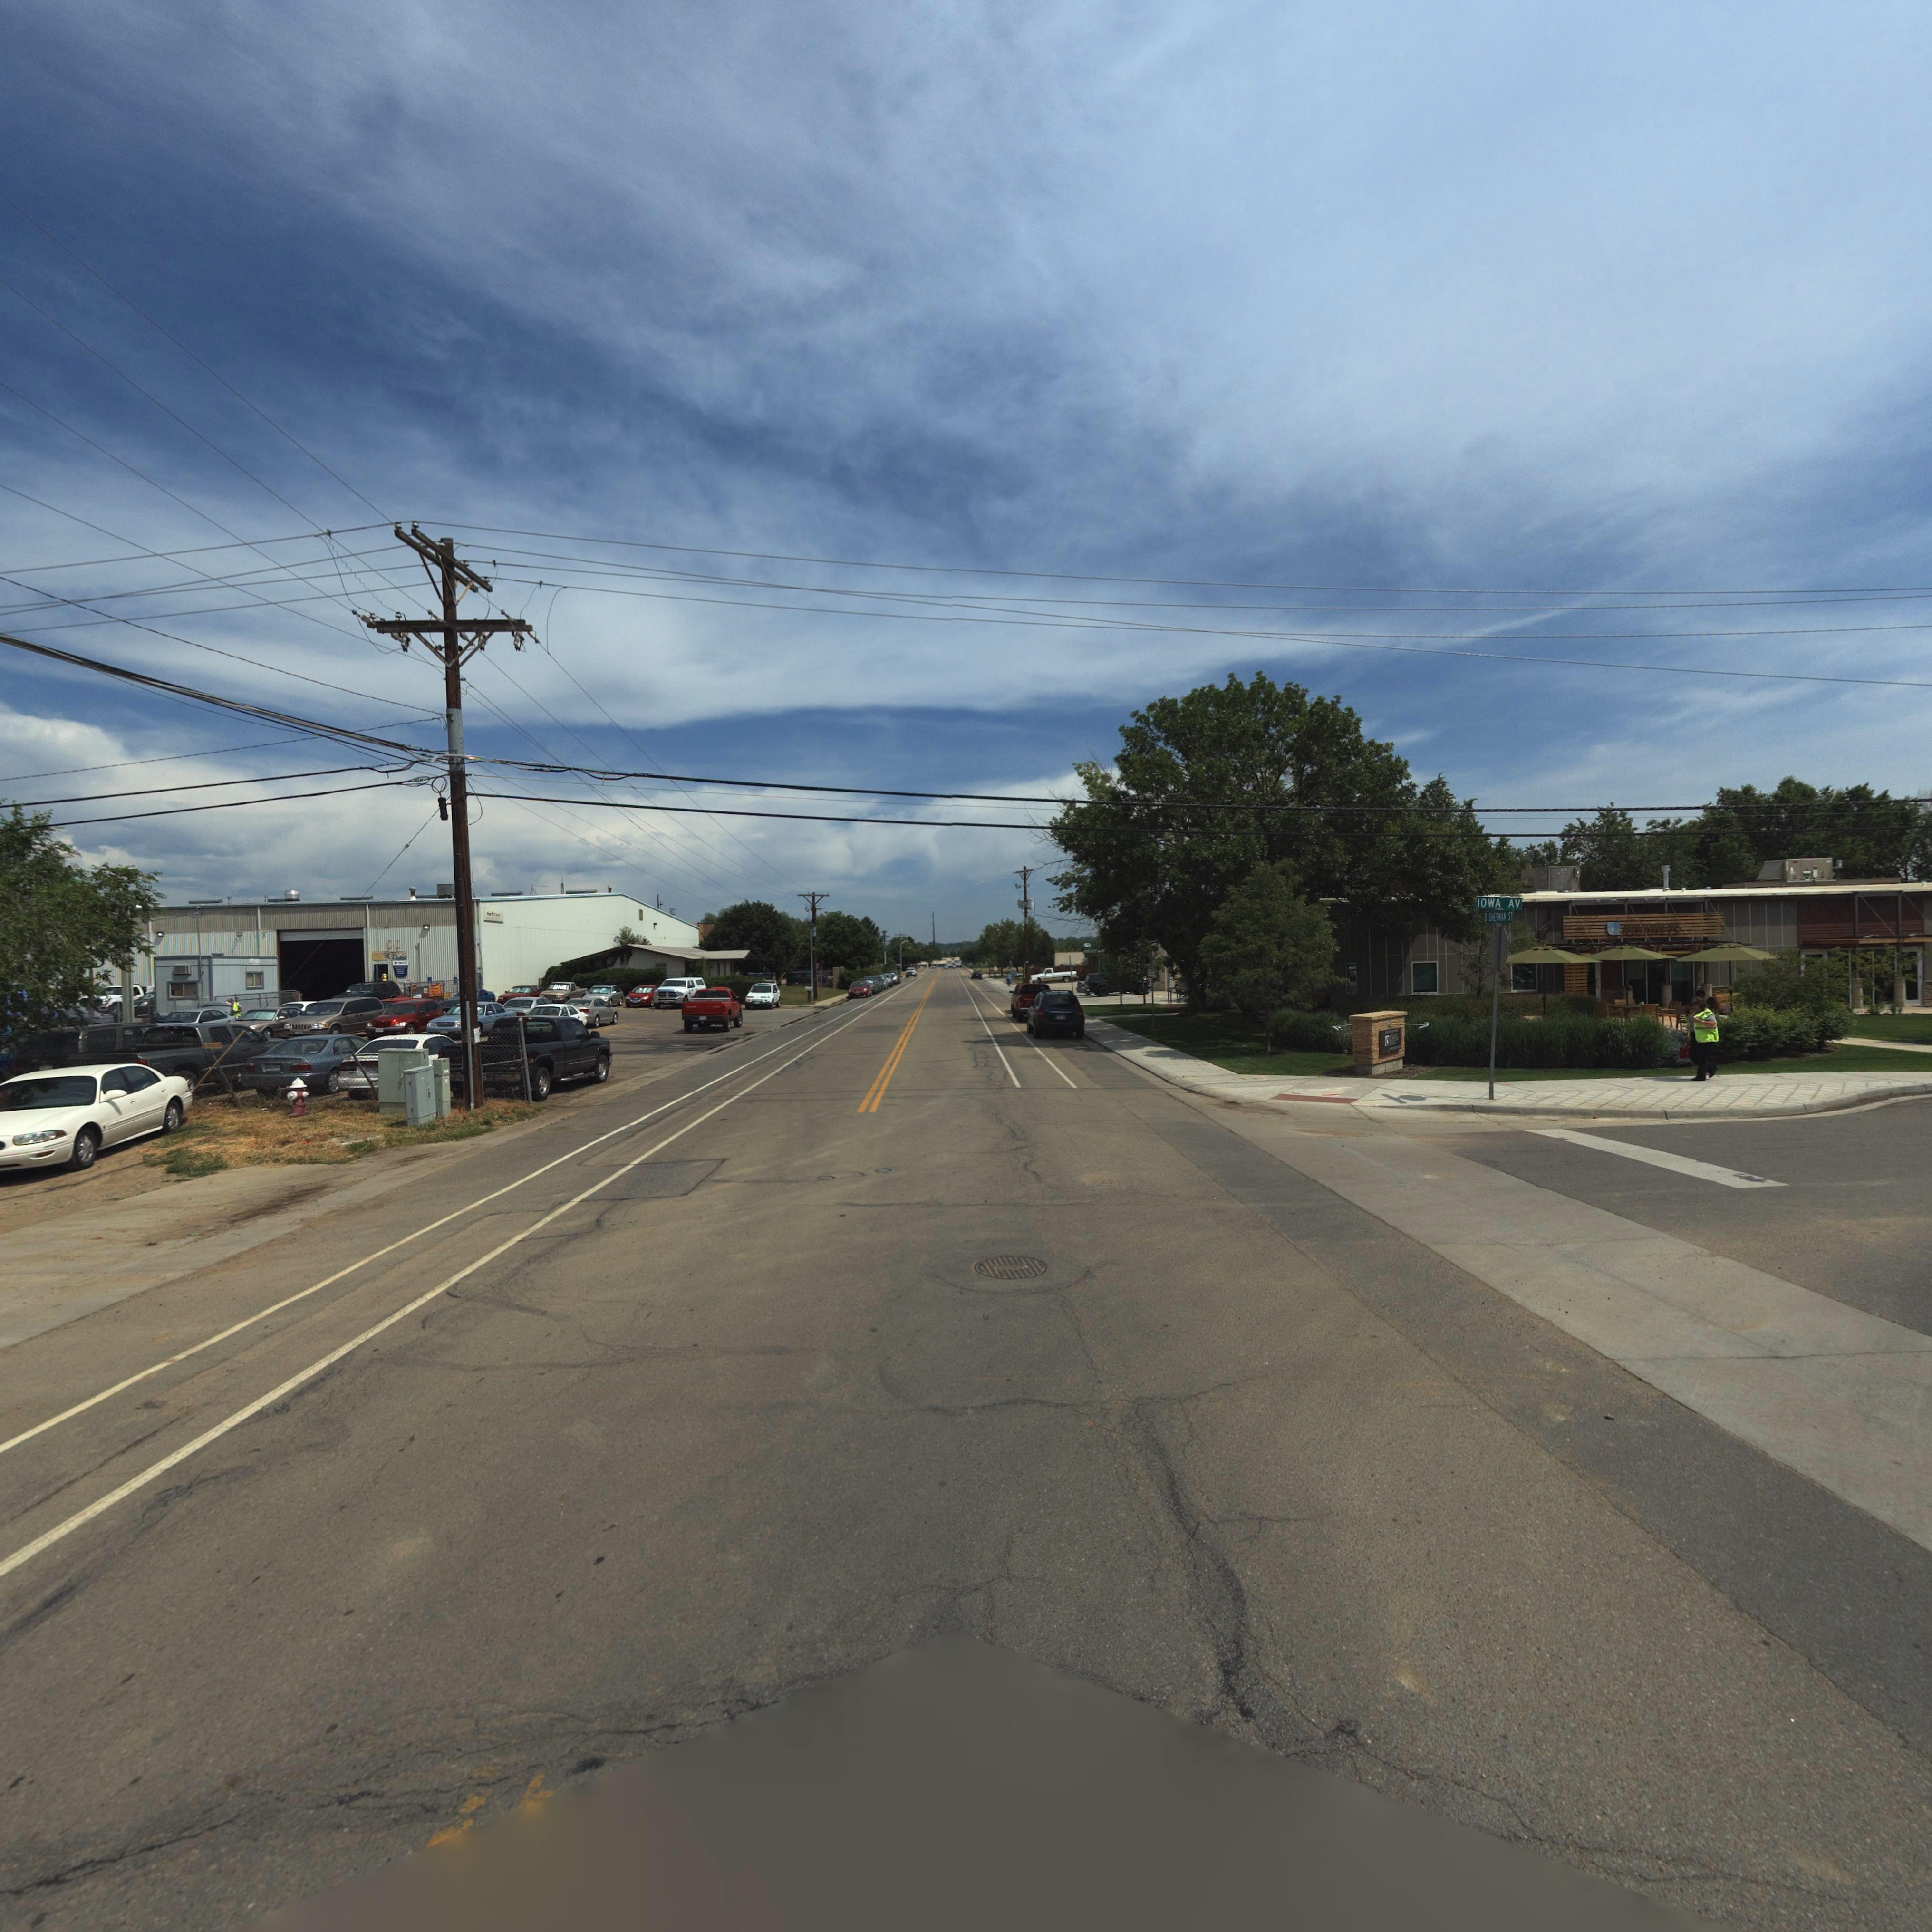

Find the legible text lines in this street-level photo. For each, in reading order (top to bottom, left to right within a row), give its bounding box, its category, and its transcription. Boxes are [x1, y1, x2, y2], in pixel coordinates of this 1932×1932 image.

[1477, 898, 1521, 908] StreetName: IOWA AV
[1484, 911, 1513, 922] StreetName: S SHERMAN ST
[1621, 921, 1682, 936] BusinessName: *****y's